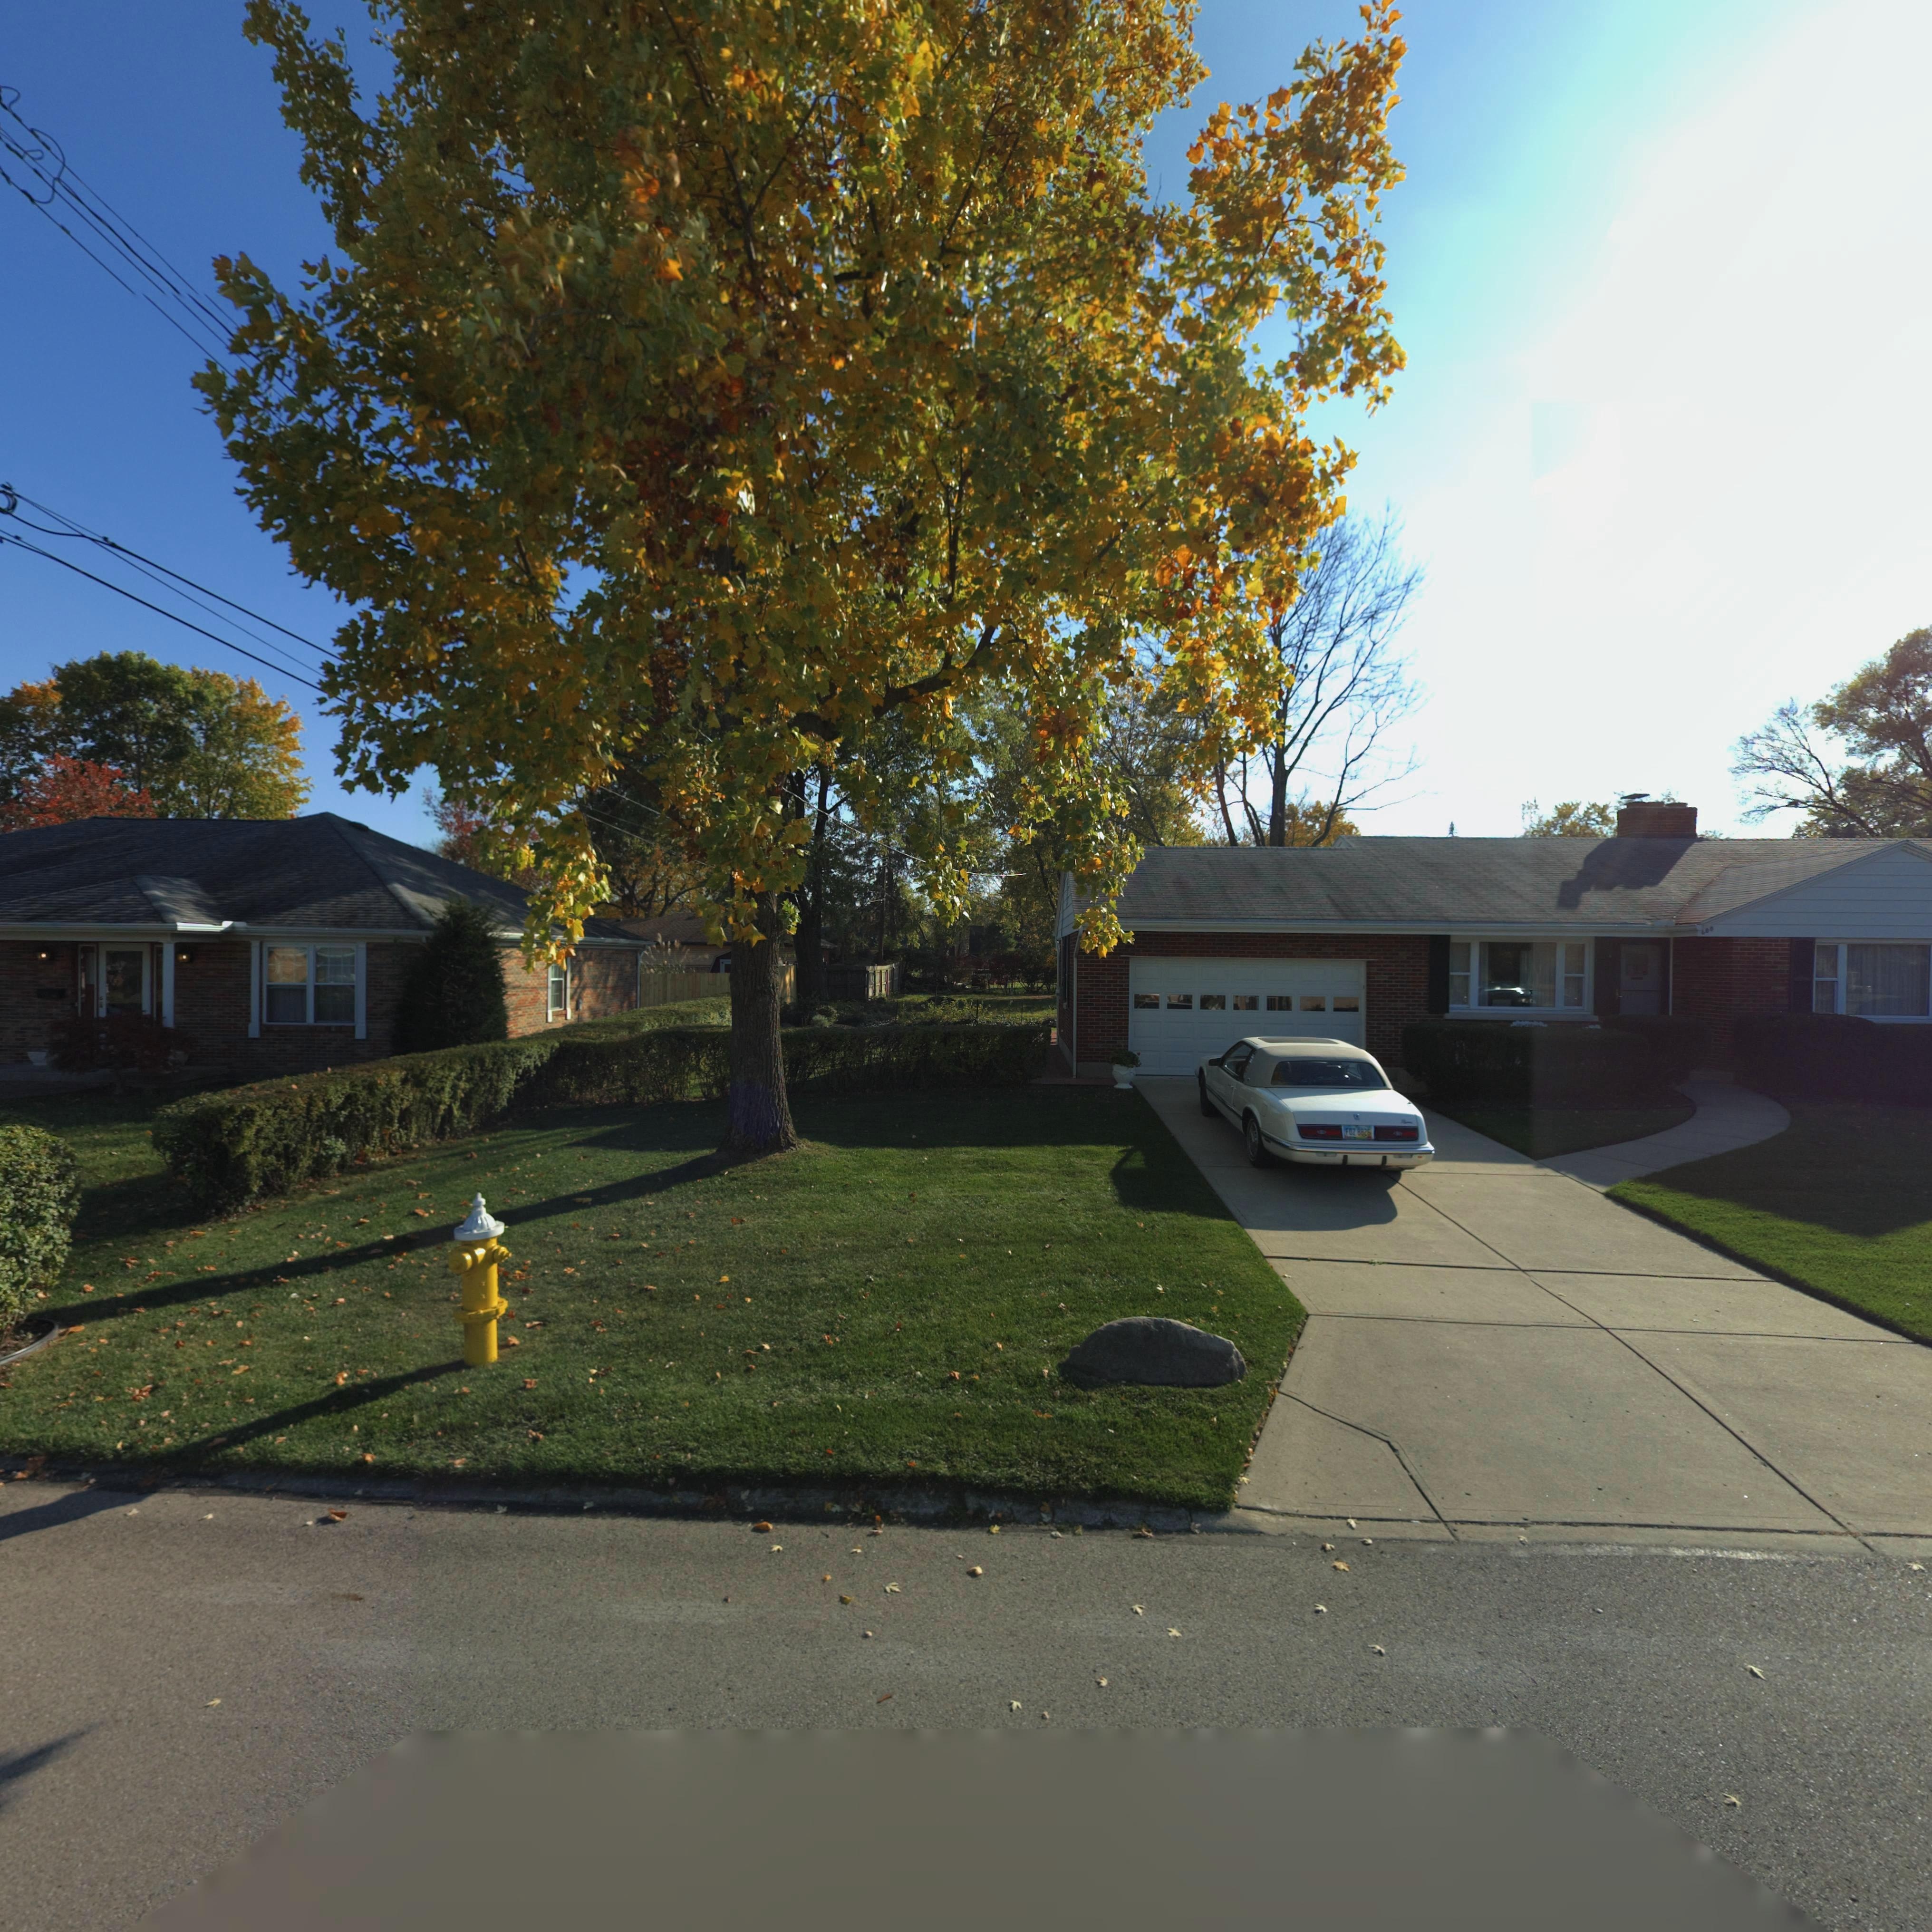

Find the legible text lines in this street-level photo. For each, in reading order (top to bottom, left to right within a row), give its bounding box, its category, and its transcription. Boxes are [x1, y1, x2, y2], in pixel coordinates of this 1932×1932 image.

[1701, 925, 1715, 936] StreetNumber: 600